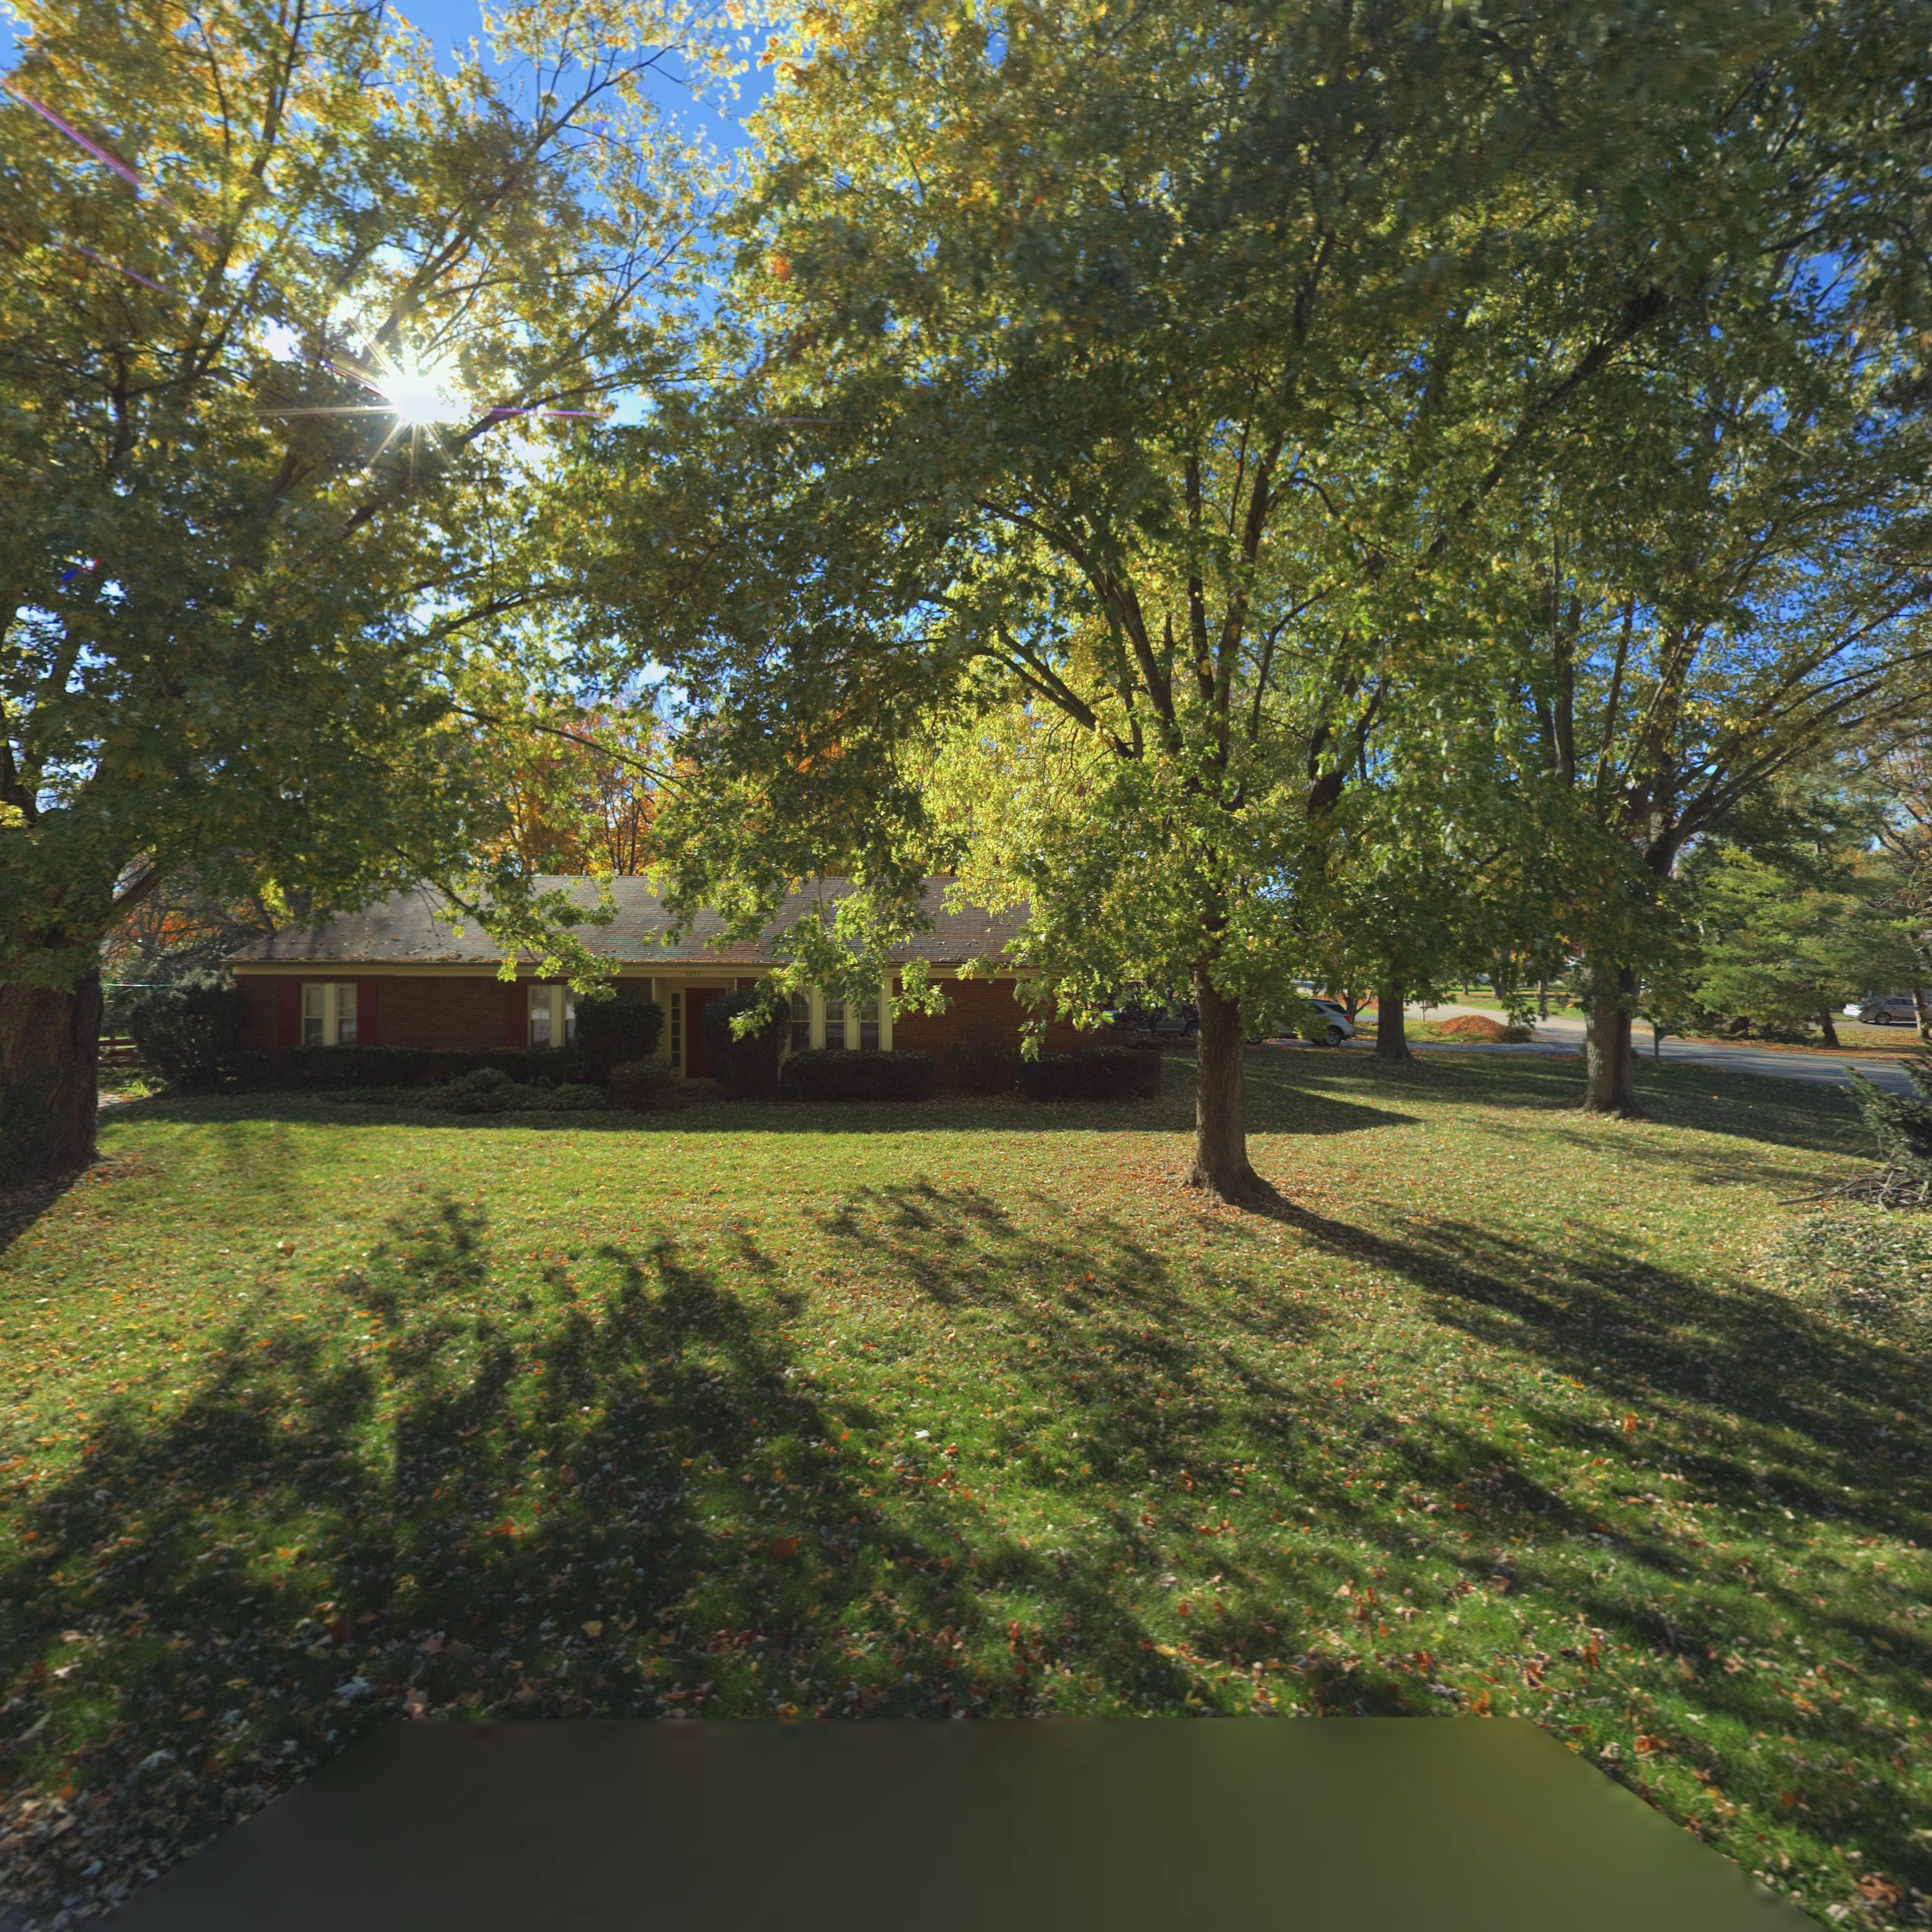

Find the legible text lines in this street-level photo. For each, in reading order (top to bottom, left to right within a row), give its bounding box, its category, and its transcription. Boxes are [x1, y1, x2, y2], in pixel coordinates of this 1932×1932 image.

[684, 970, 700, 977] StreetNumber: 5653